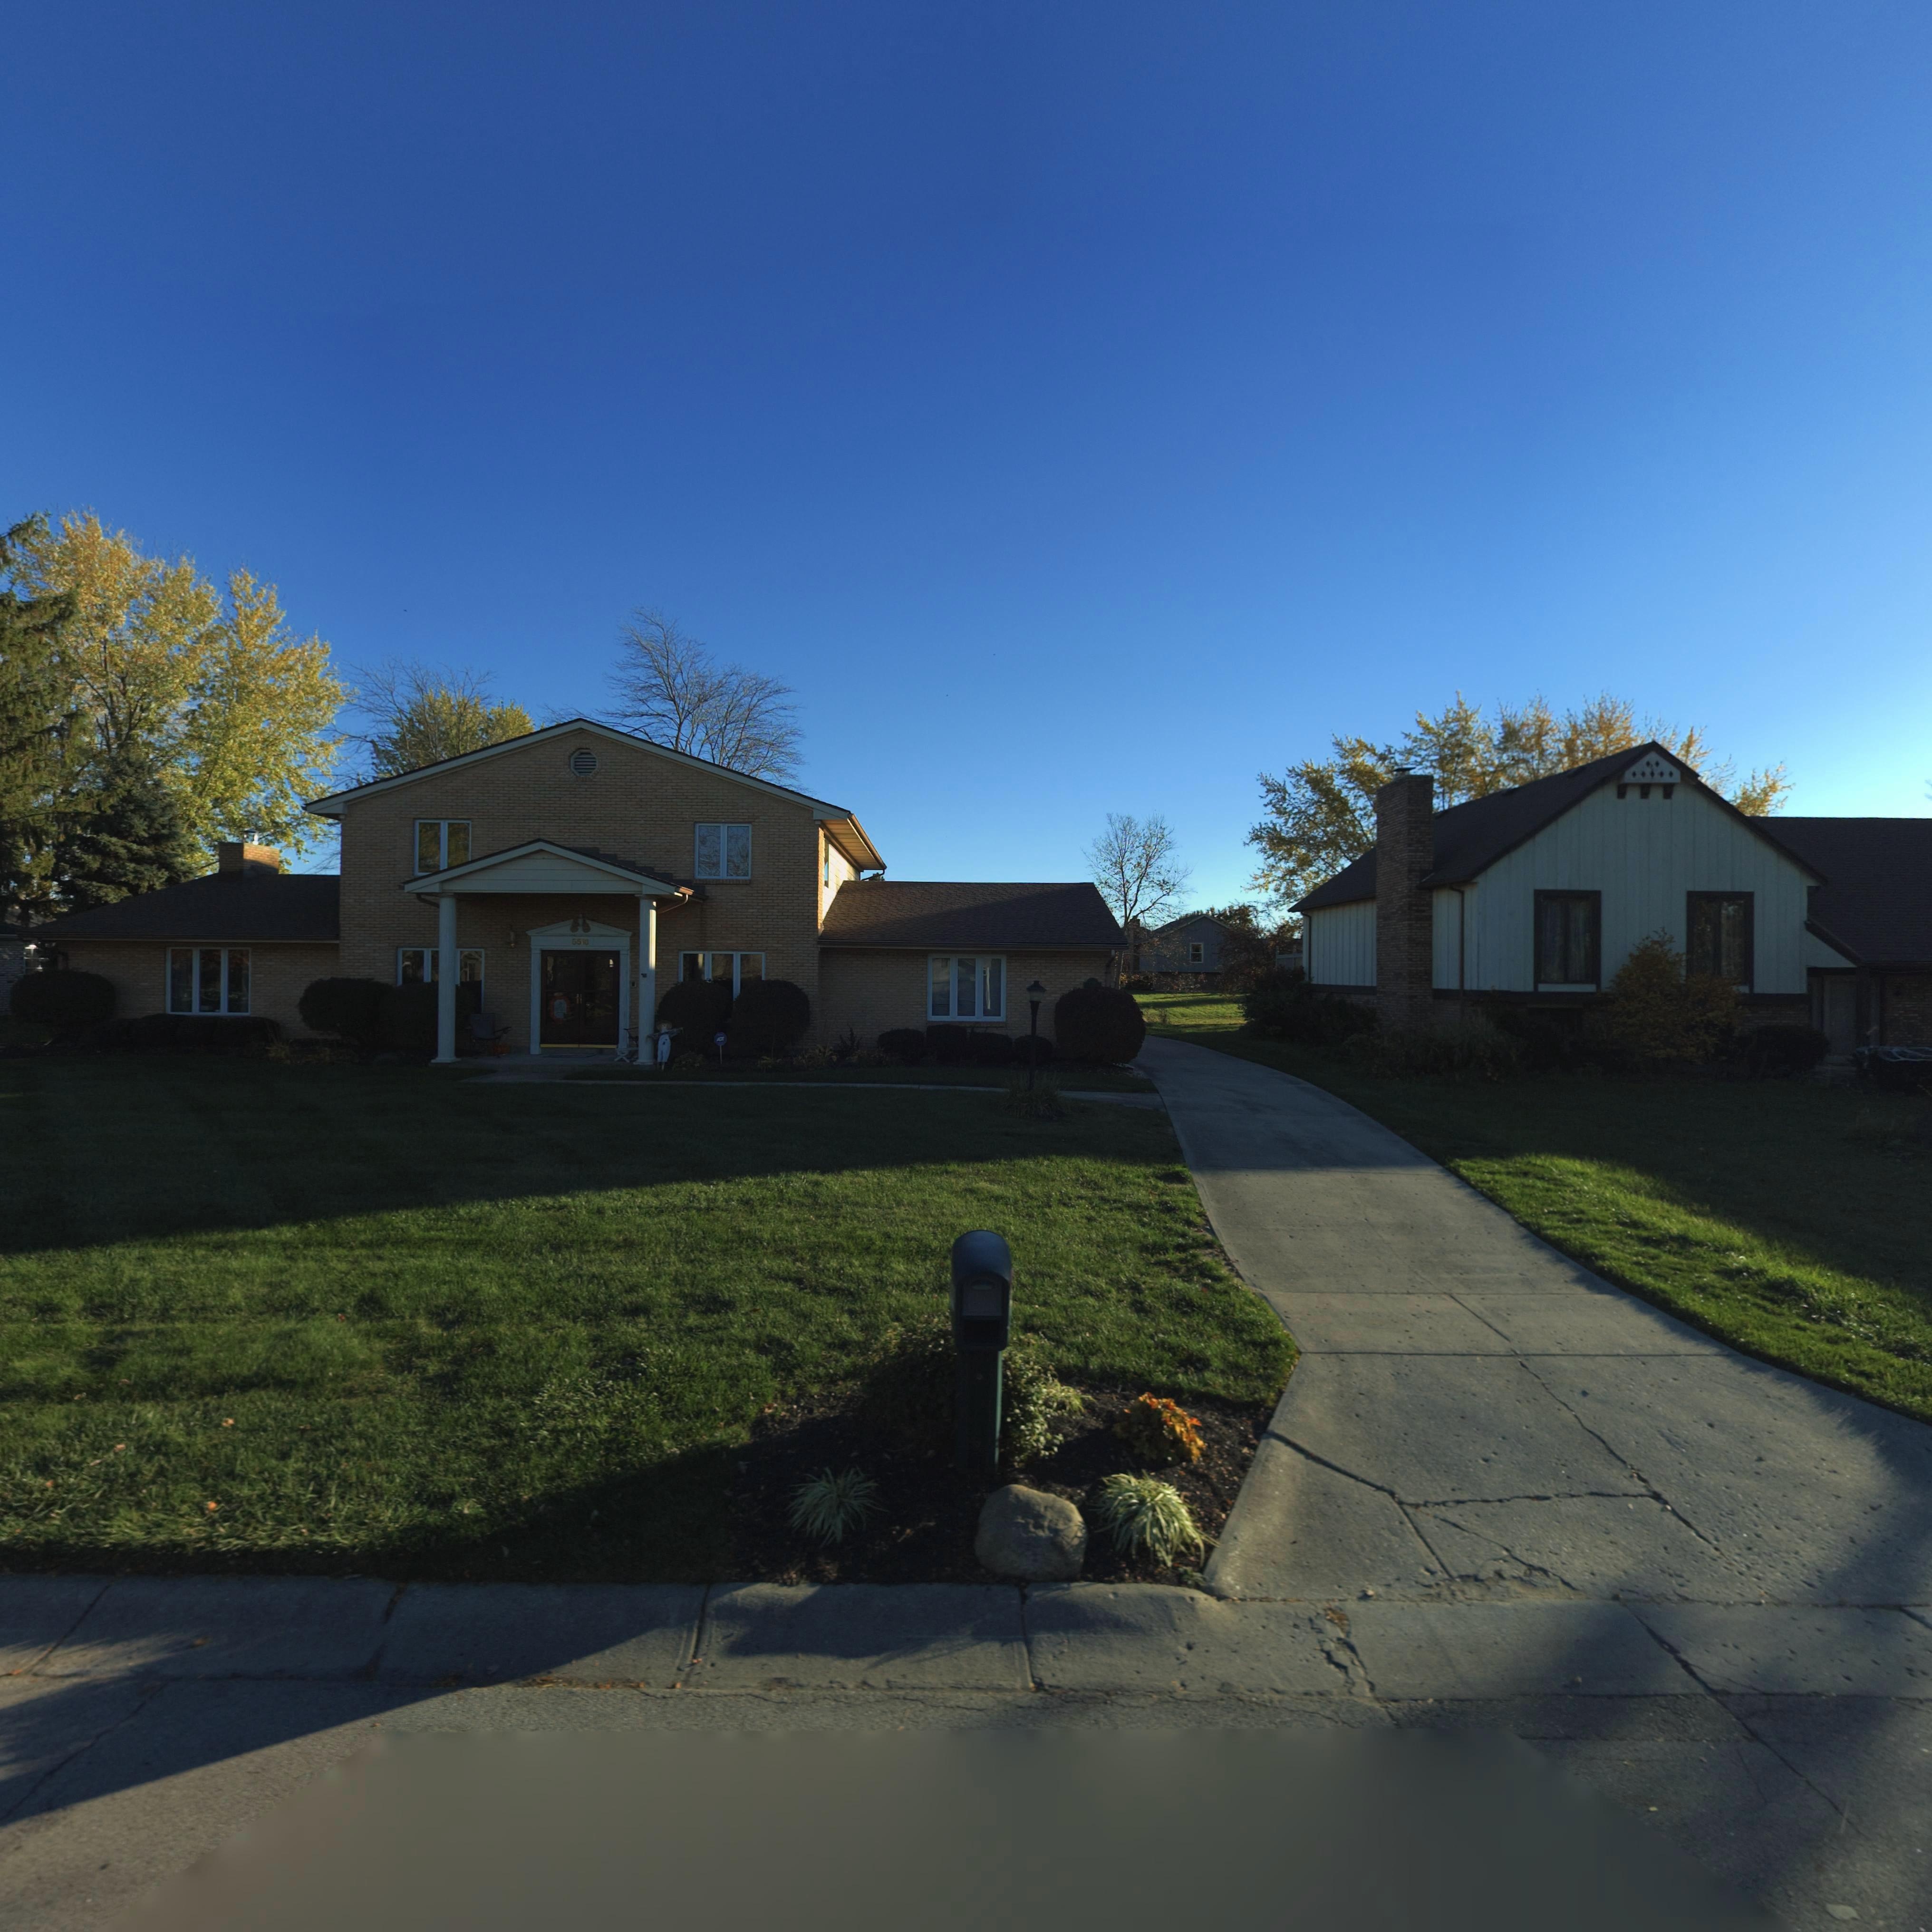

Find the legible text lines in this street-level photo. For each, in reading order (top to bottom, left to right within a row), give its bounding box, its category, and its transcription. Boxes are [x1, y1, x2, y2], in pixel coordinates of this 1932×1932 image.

[571, 937, 590, 947] StreetNumber: 55**